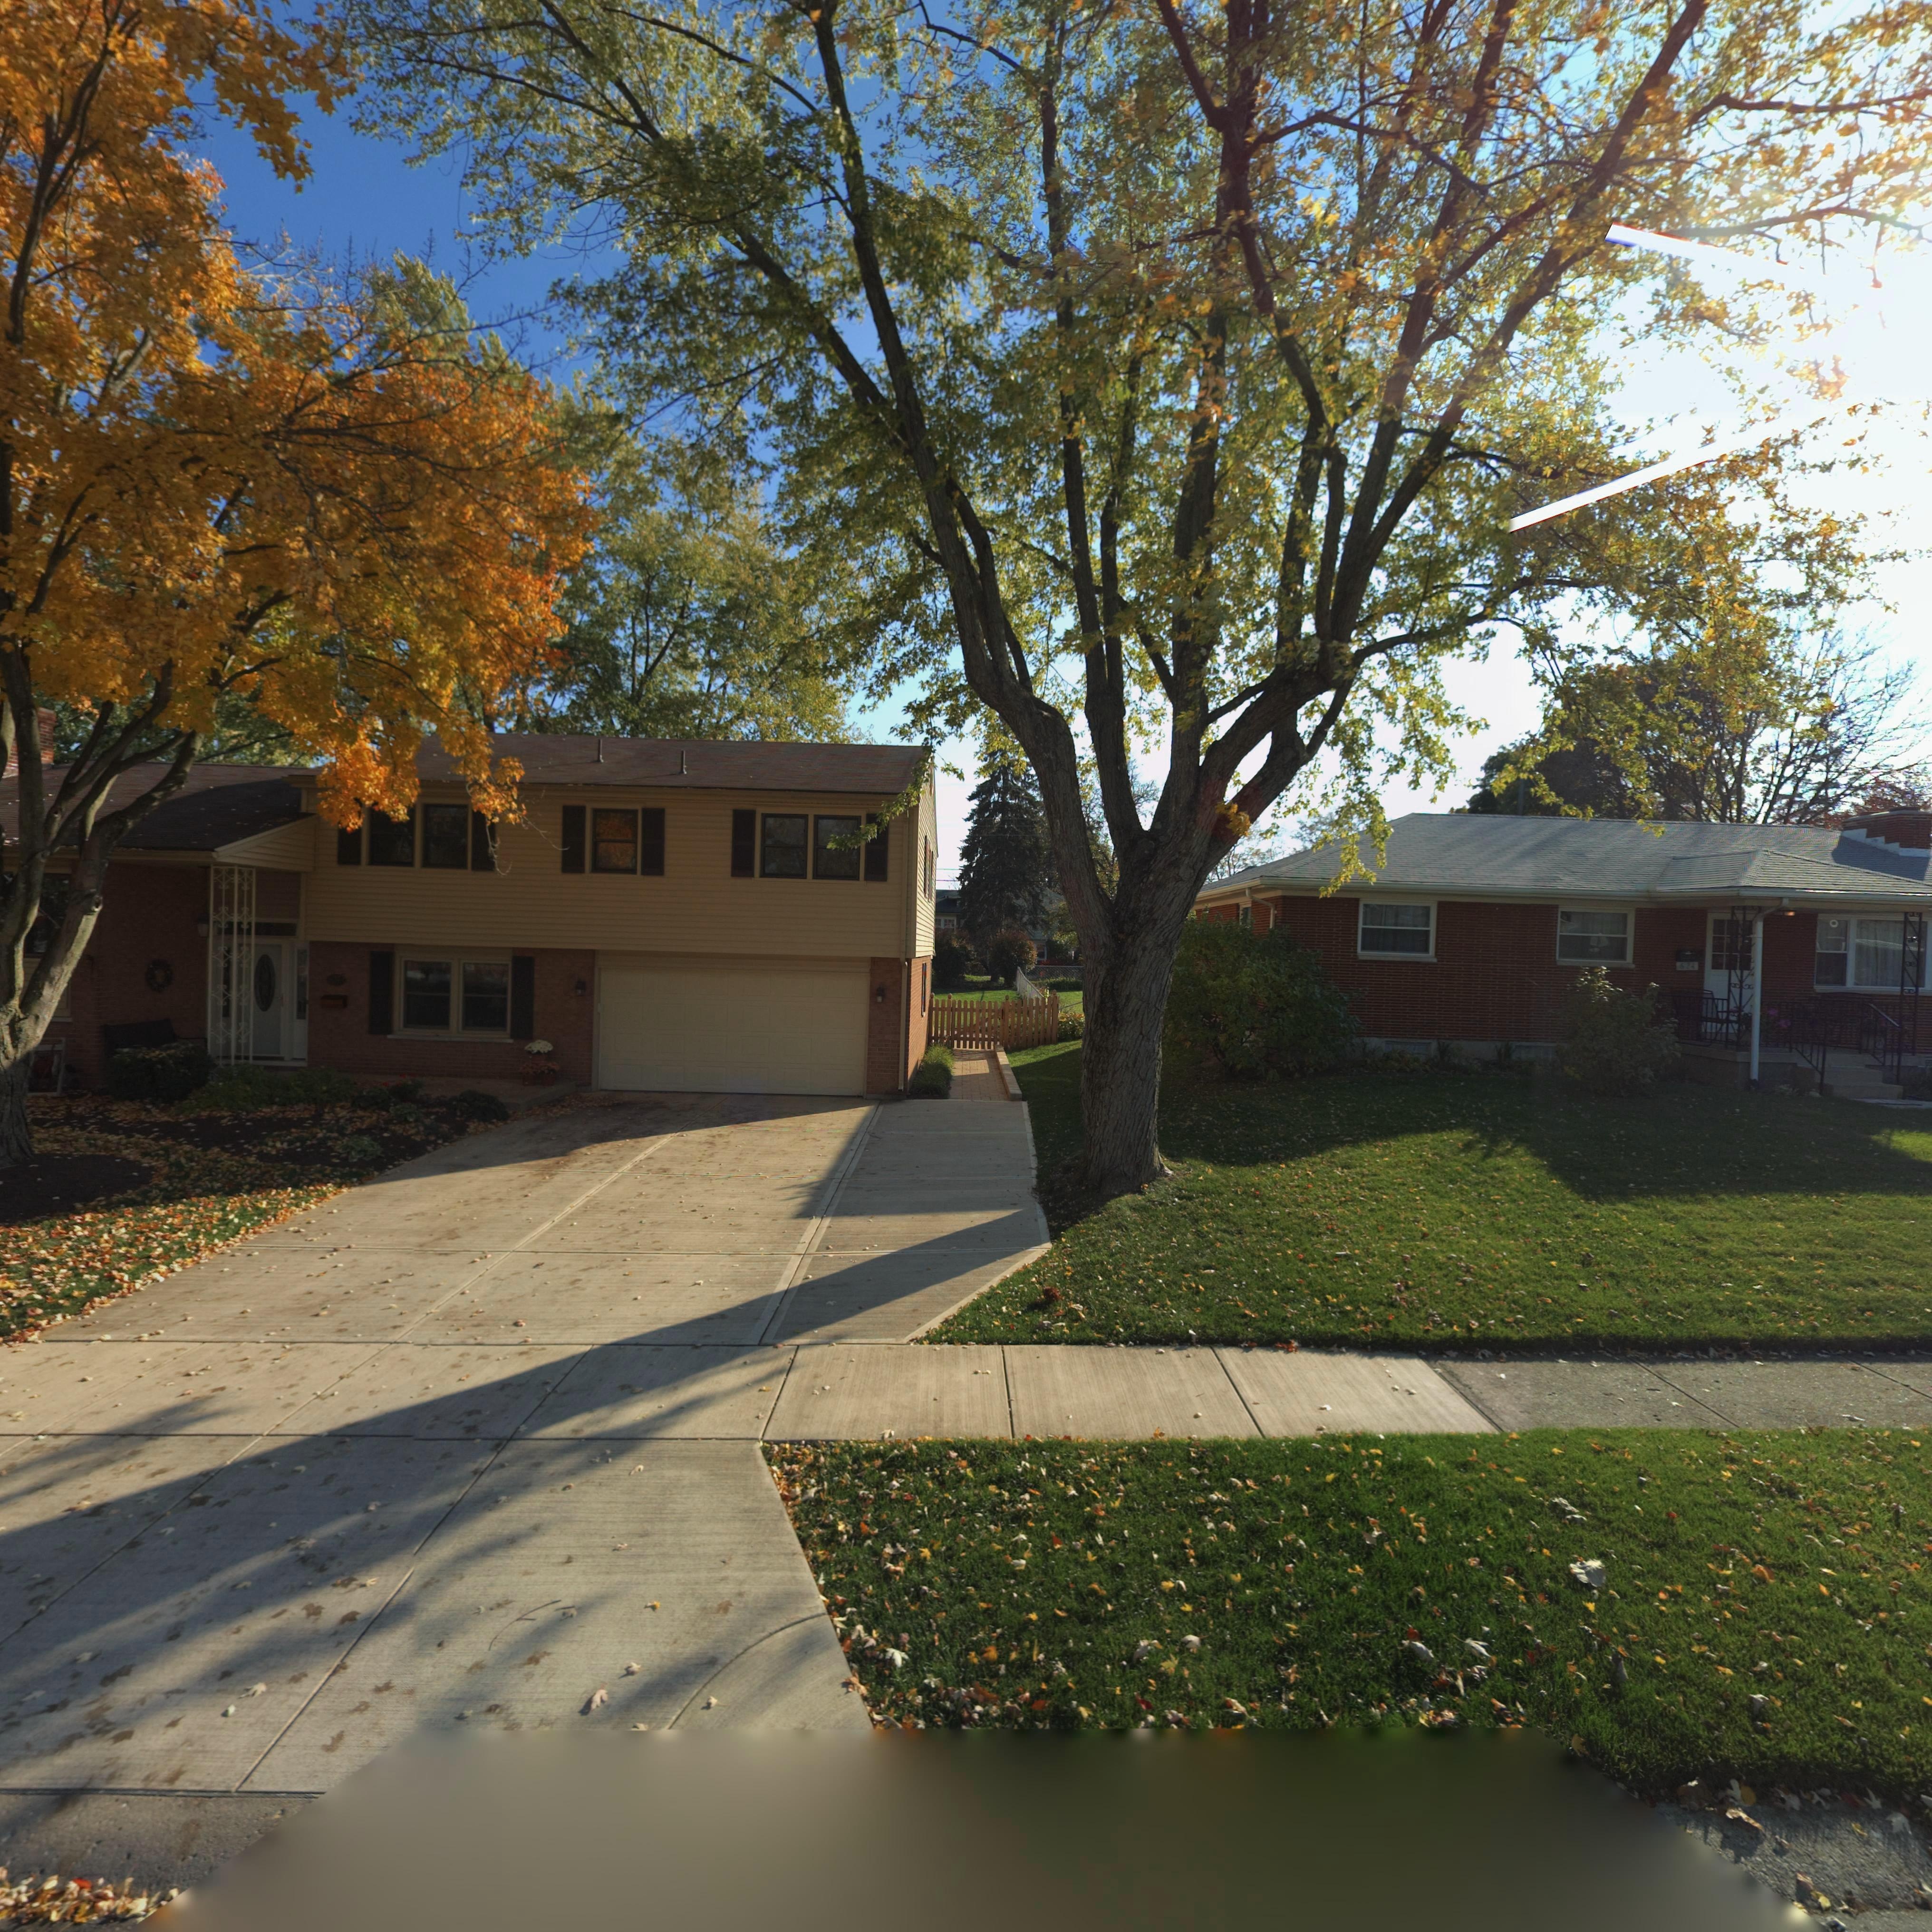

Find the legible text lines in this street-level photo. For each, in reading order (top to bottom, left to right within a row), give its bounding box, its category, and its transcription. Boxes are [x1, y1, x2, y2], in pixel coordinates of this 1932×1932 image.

[1679, 961, 1696, 971] StreetNumber: 6**